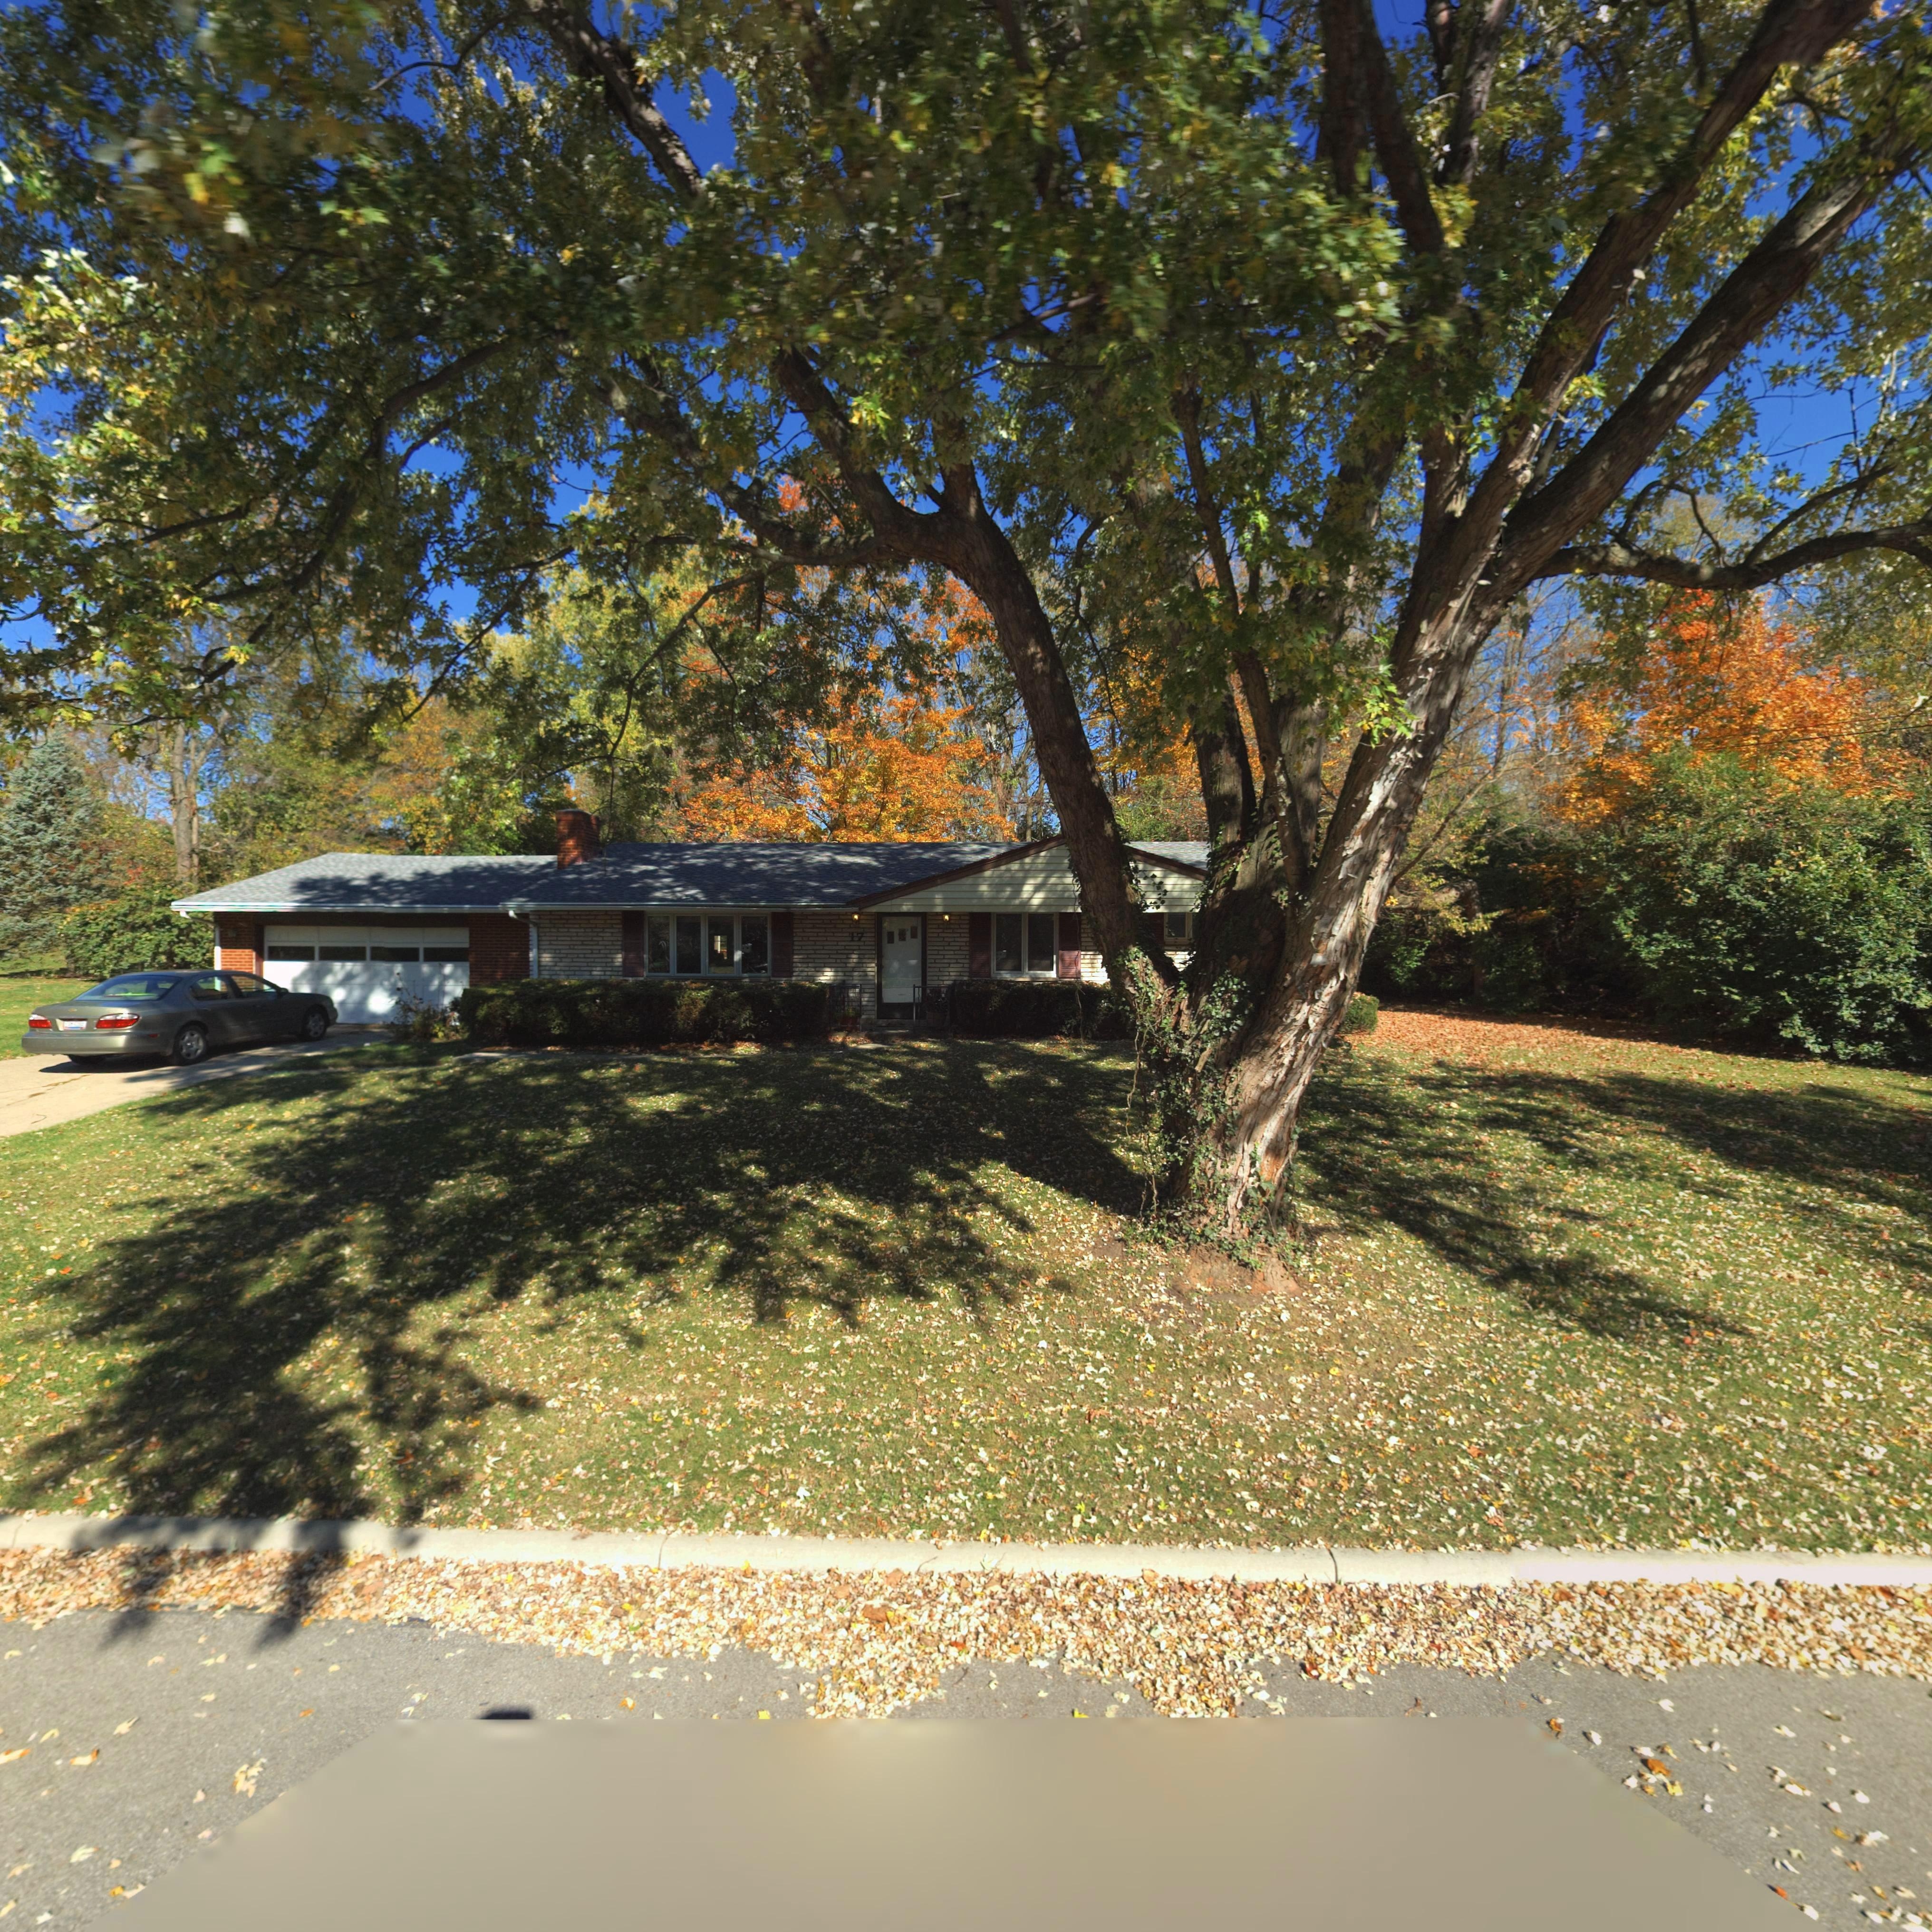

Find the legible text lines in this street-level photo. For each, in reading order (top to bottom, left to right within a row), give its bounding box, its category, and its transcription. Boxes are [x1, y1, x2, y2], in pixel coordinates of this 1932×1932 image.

[849, 932, 864, 942] StreetNumber: 17